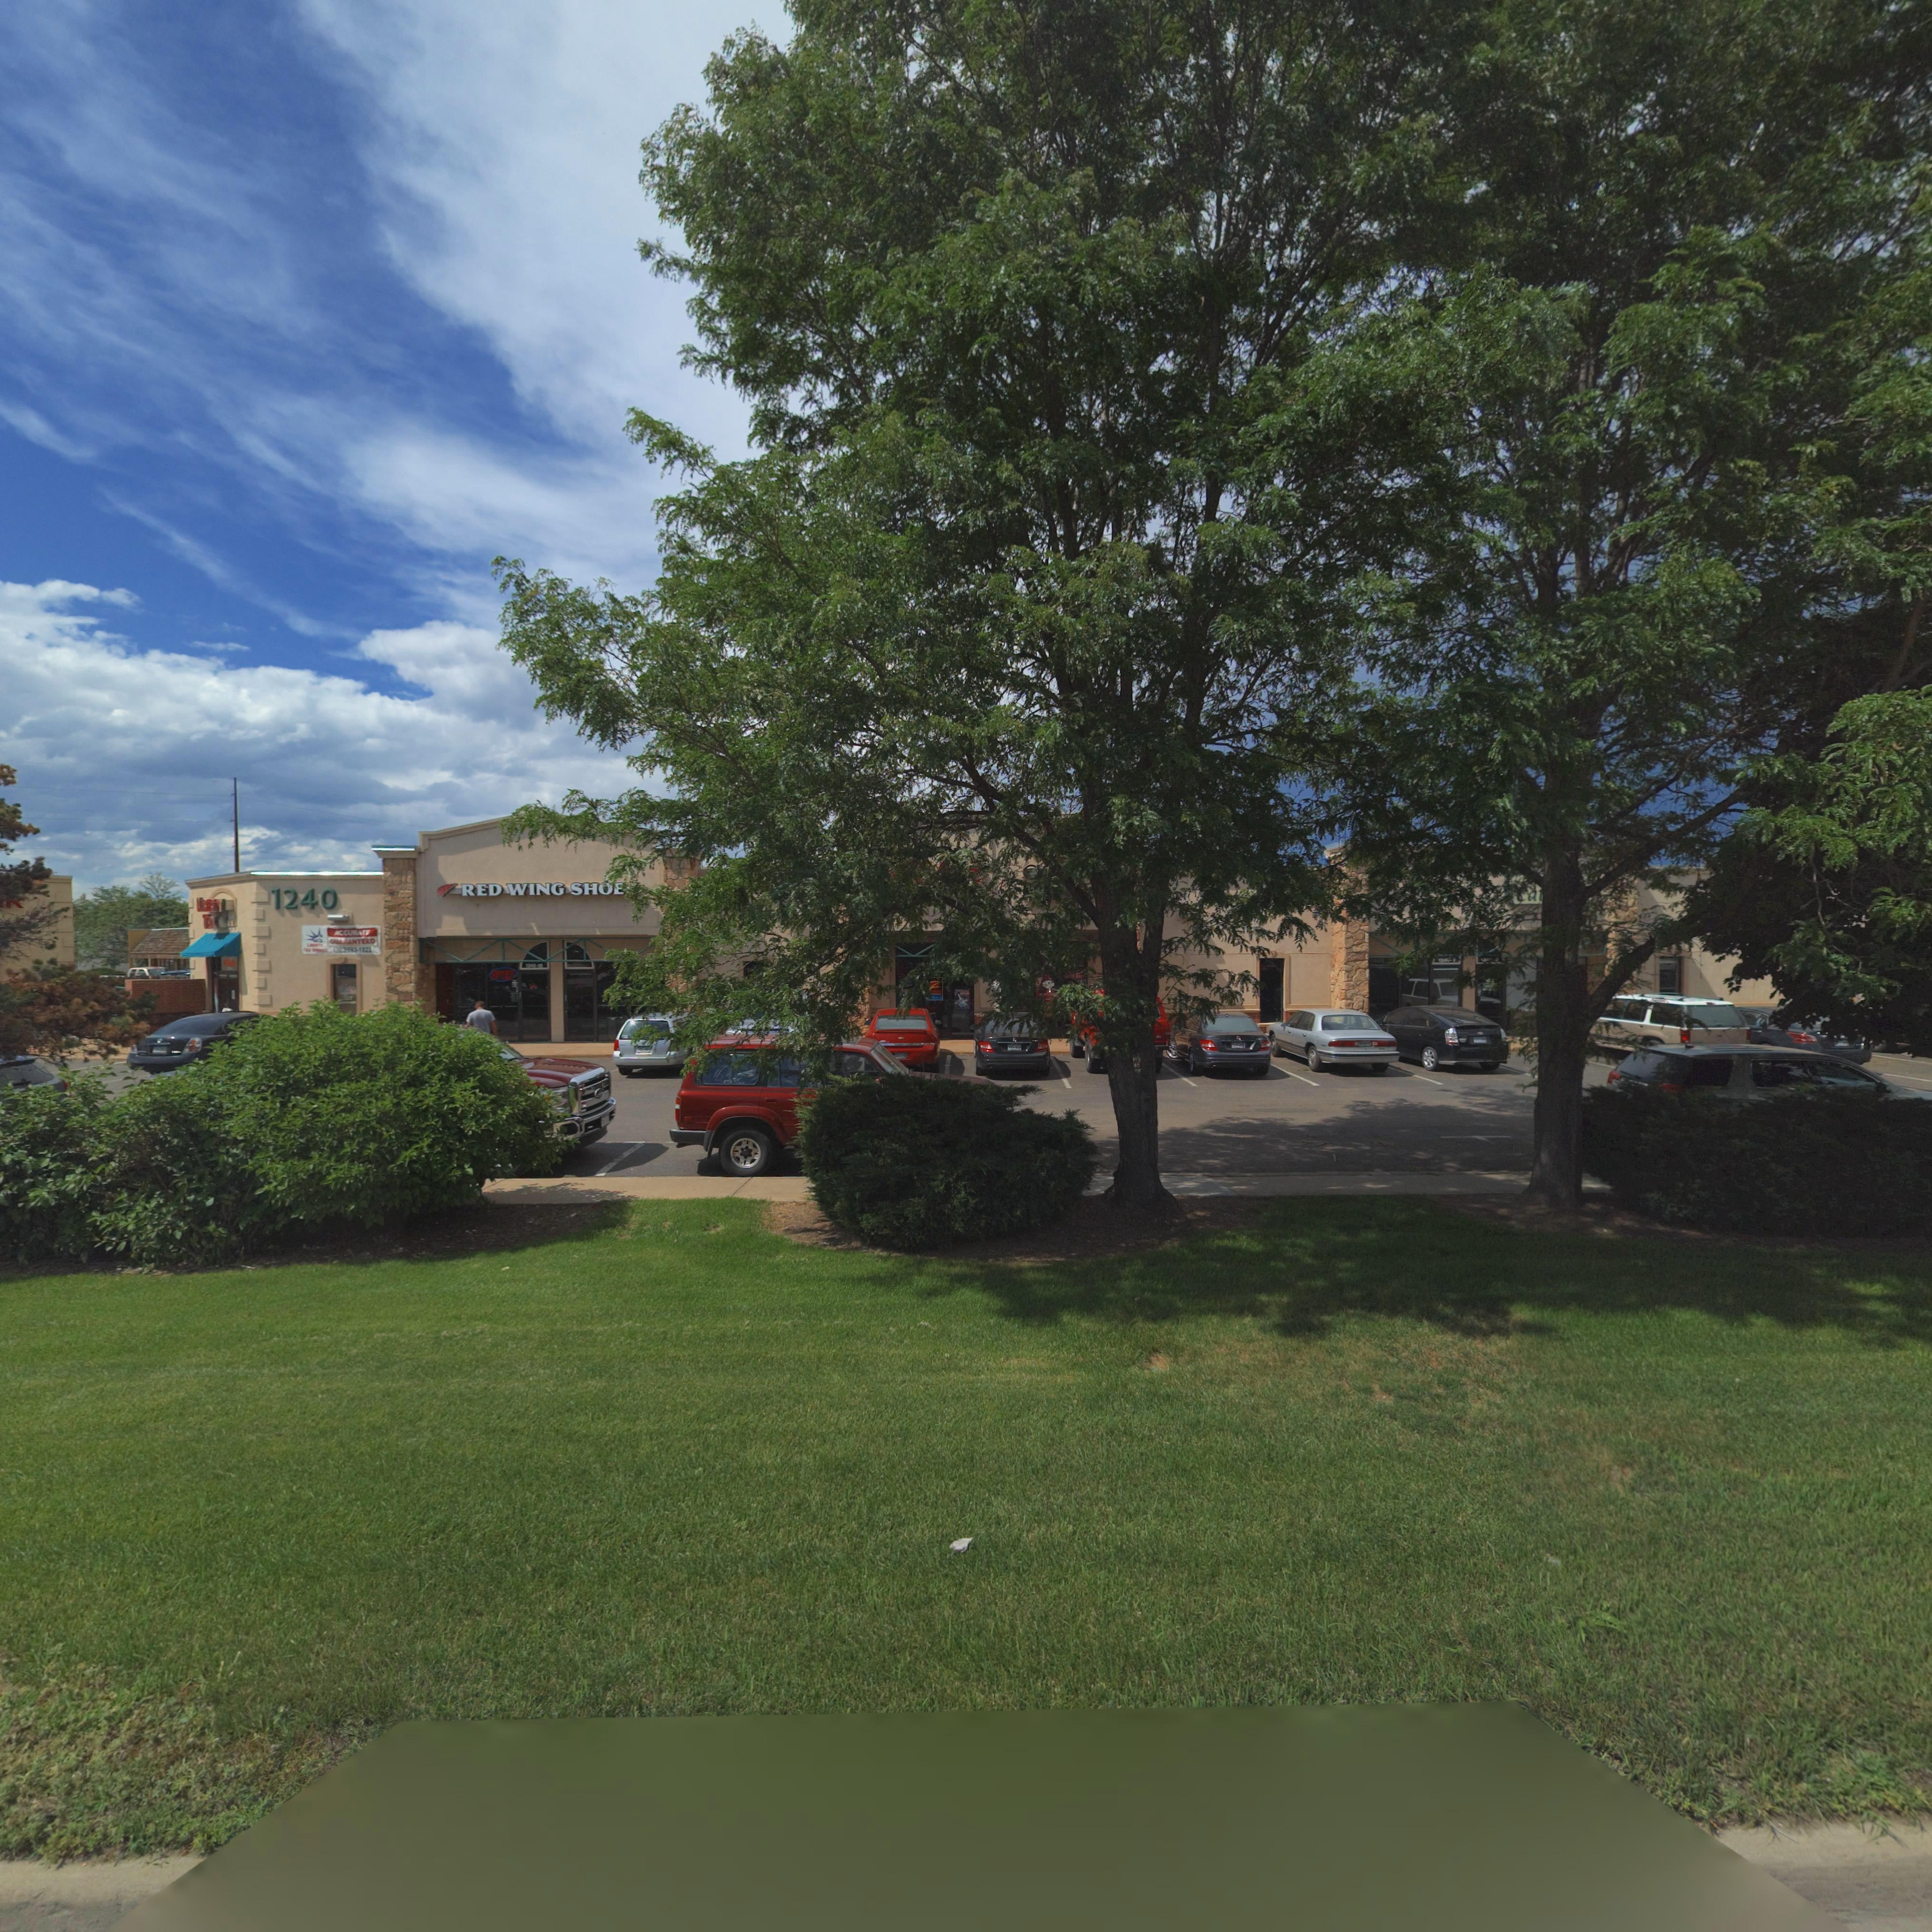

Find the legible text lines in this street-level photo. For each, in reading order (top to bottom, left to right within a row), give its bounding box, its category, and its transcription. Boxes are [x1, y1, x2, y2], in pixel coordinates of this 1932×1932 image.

[195, 897, 223, 912] BusinessName: L*****Y
[270, 887, 338, 910] StreetNumber: 1240
[460, 881, 625, 896] BusinessName: RED WING SHOE
[1526, 889, 1537, 902] BusinessName: a
[202, 913, 217, 929] BusinessName: T**
[525, 963, 536, 968] StreetNumber: 1240
[538, 963, 543, 967] SecondaryUnitDesignator: 1B